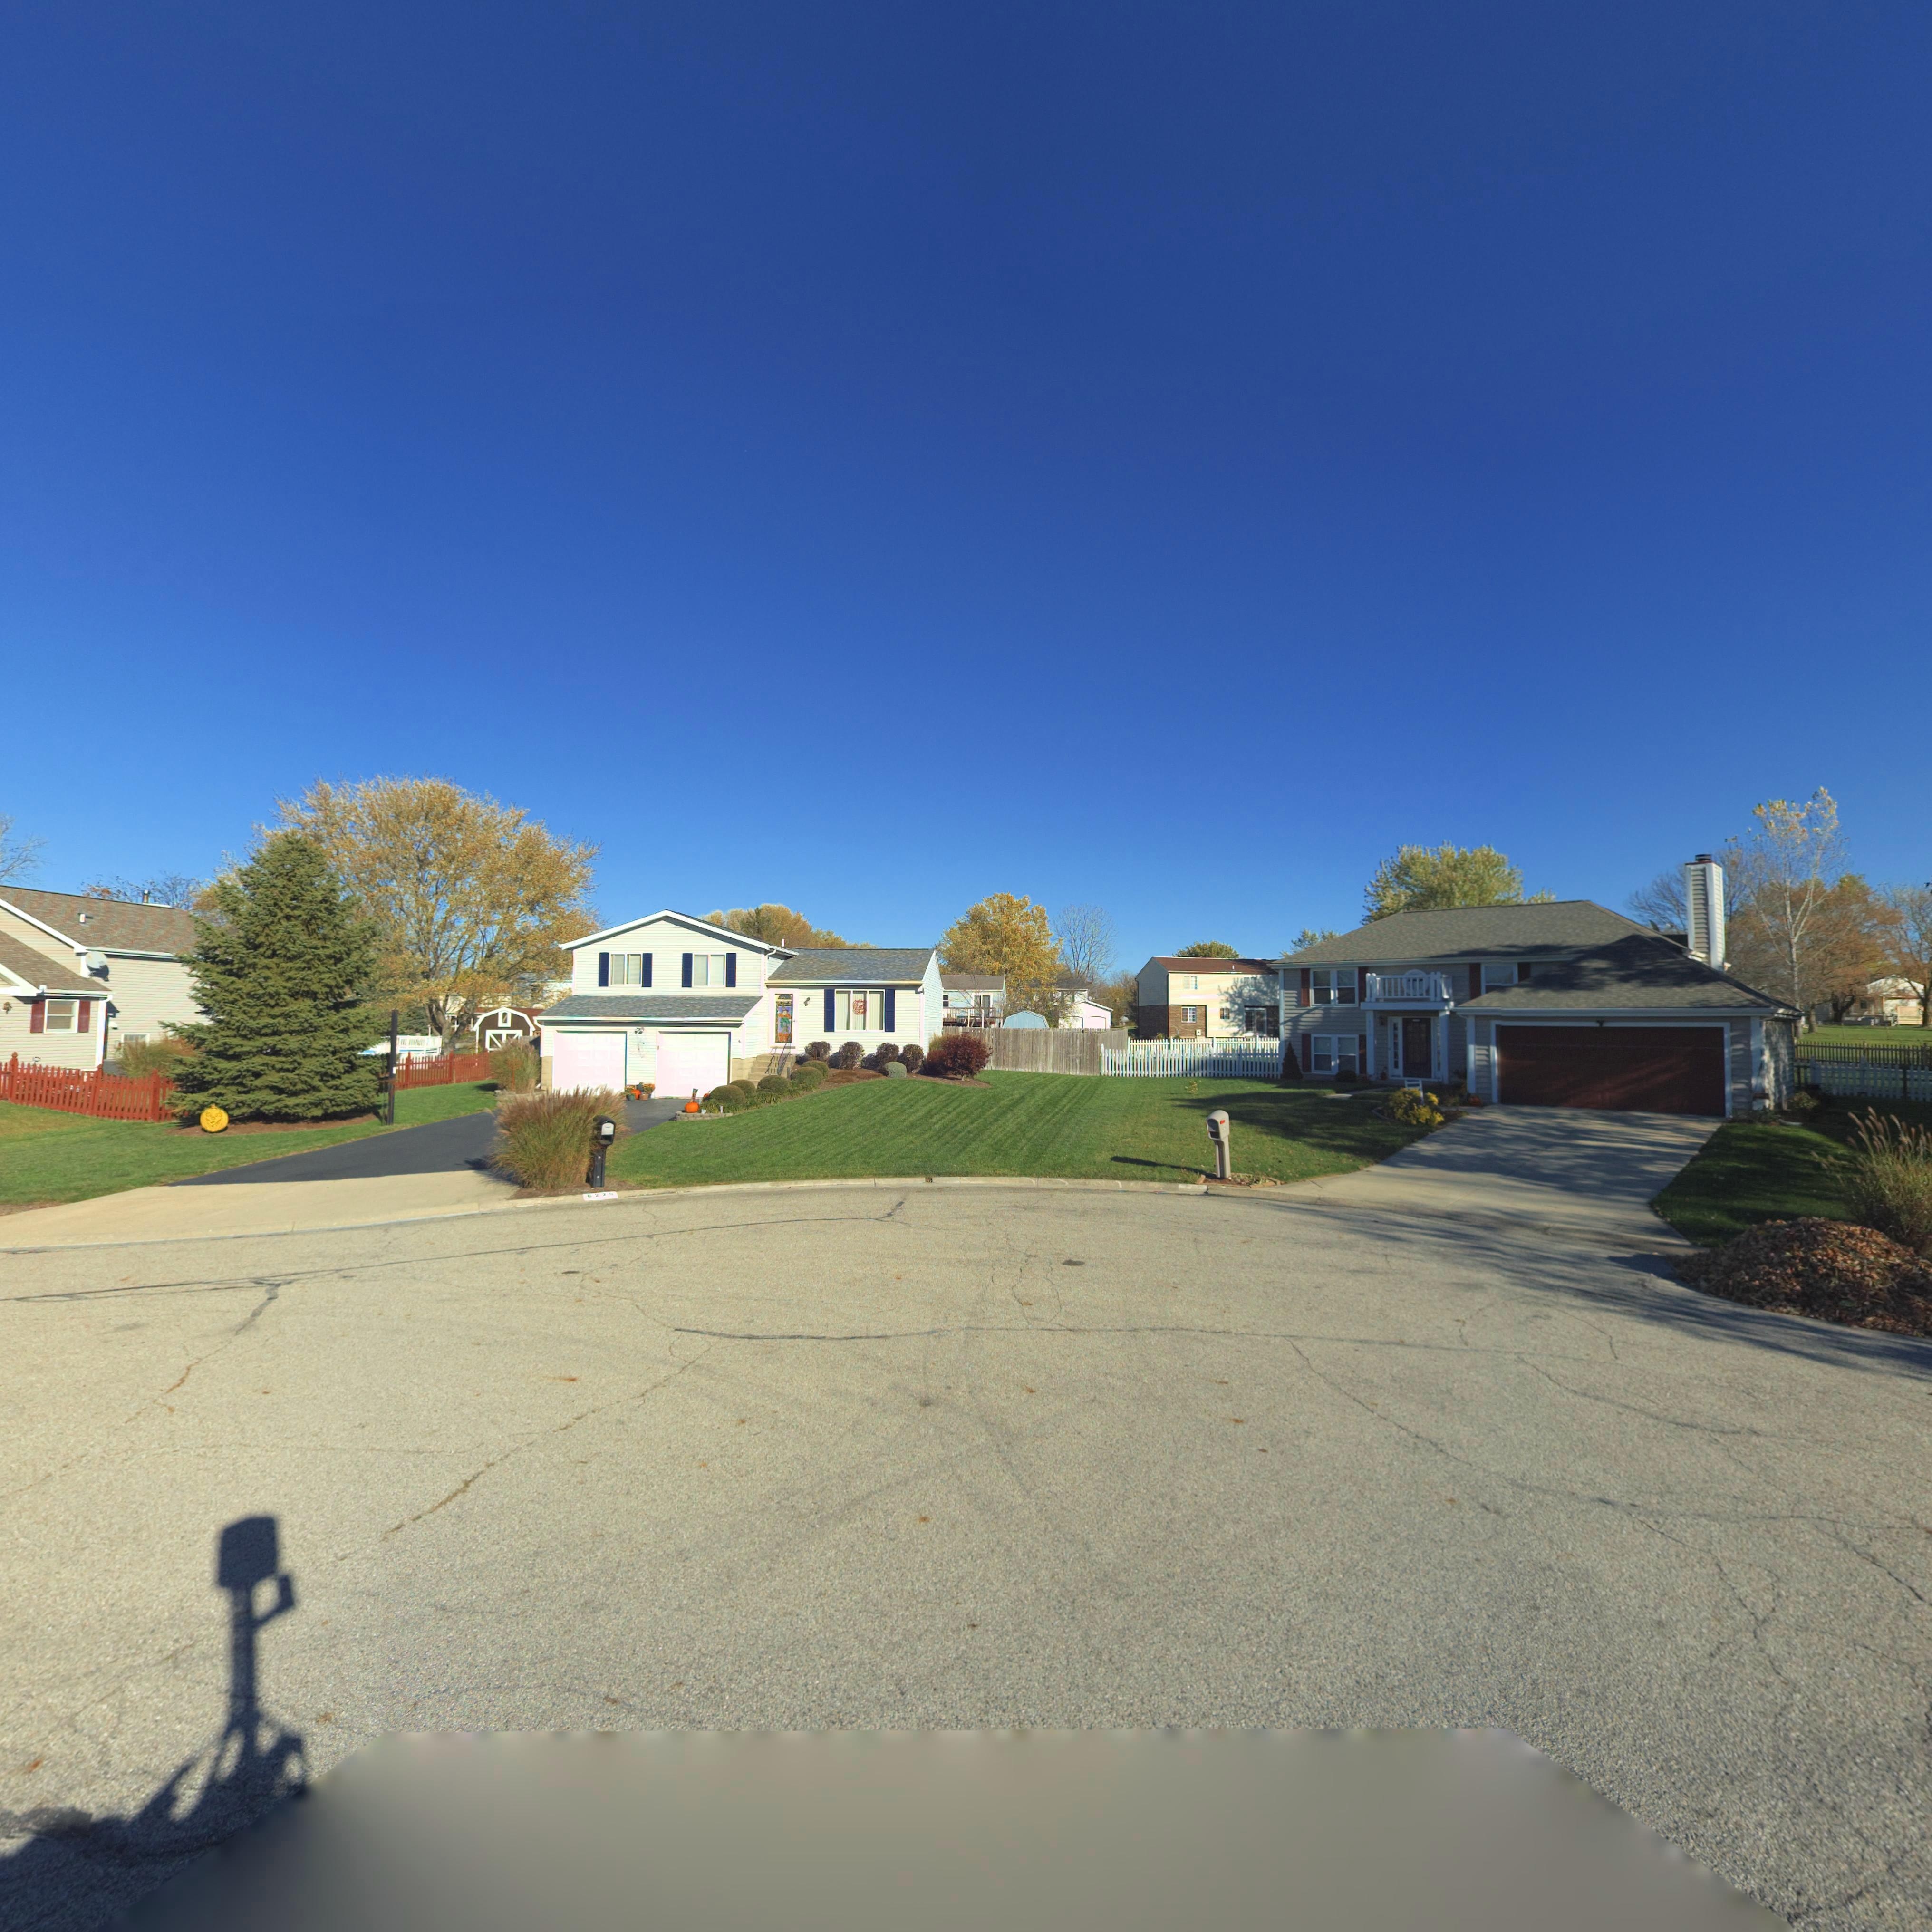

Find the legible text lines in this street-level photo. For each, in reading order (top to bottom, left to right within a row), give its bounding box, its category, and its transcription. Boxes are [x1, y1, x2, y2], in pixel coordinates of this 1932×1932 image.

[586, 1191, 615, 1199] StreetNumber: *220